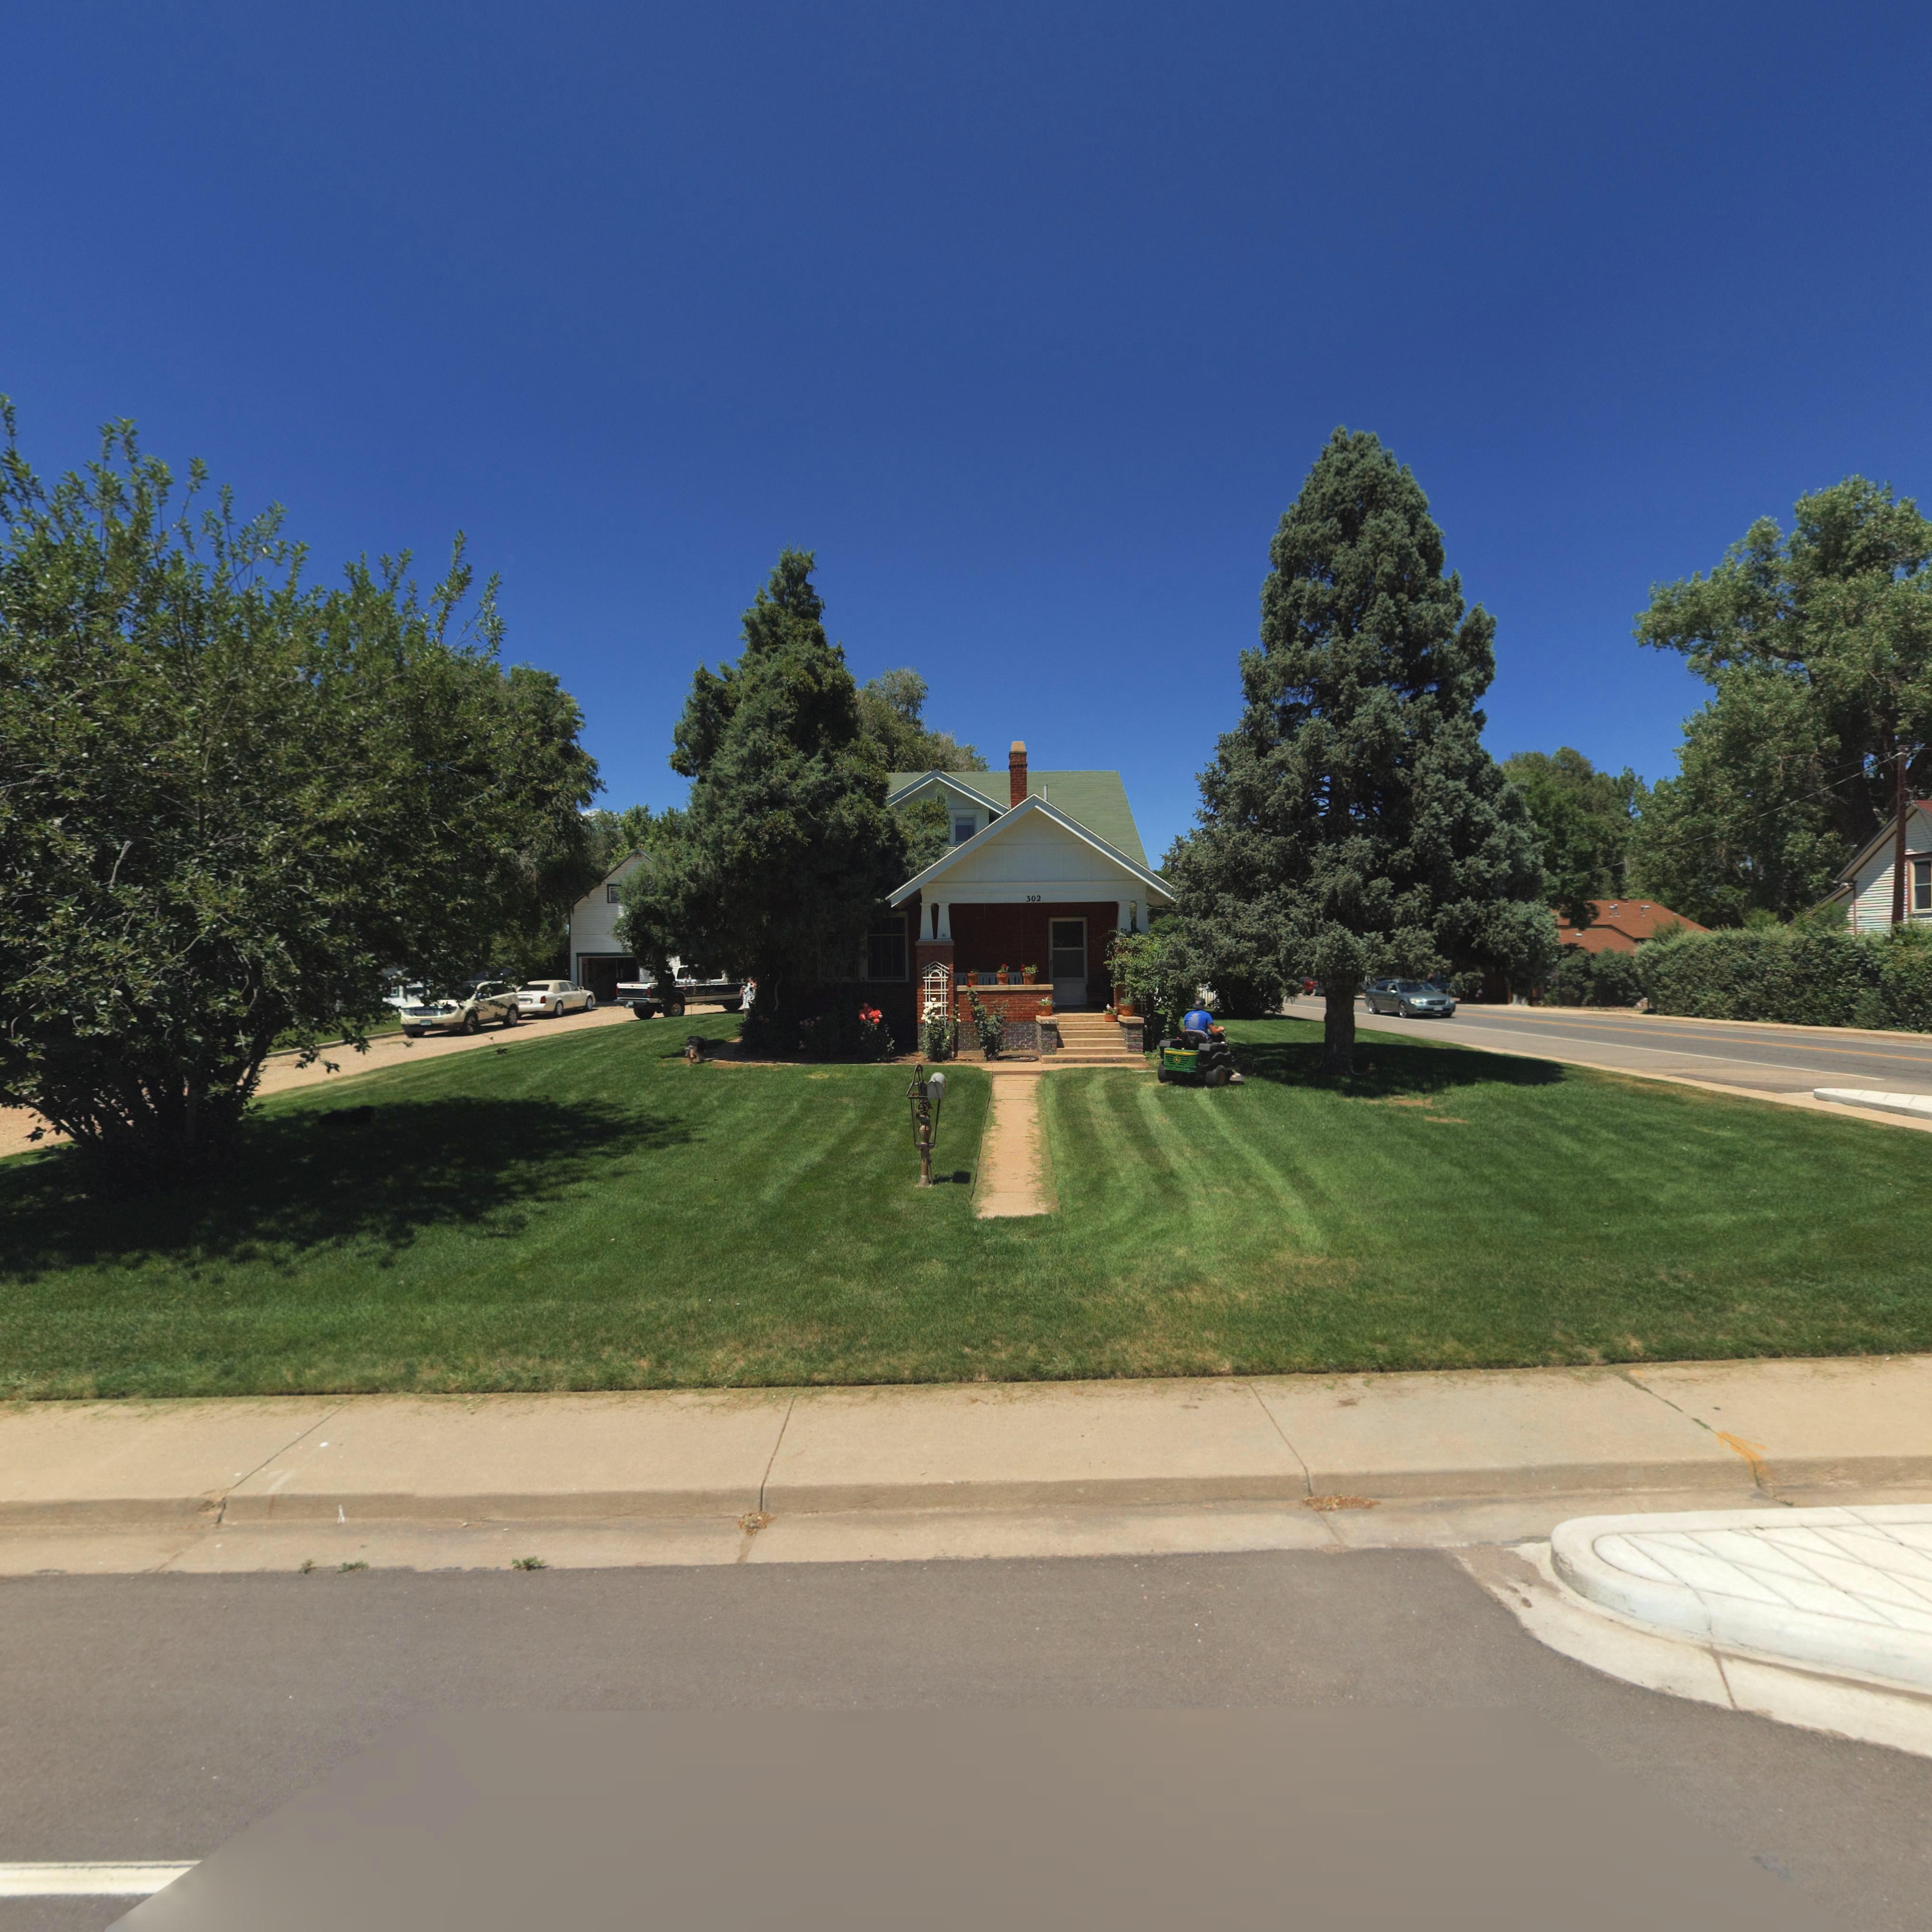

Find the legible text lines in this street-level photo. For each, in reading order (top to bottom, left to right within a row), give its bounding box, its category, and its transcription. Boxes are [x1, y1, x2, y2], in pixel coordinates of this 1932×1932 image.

[1025, 895, 1041, 901] StreetNumber: 302